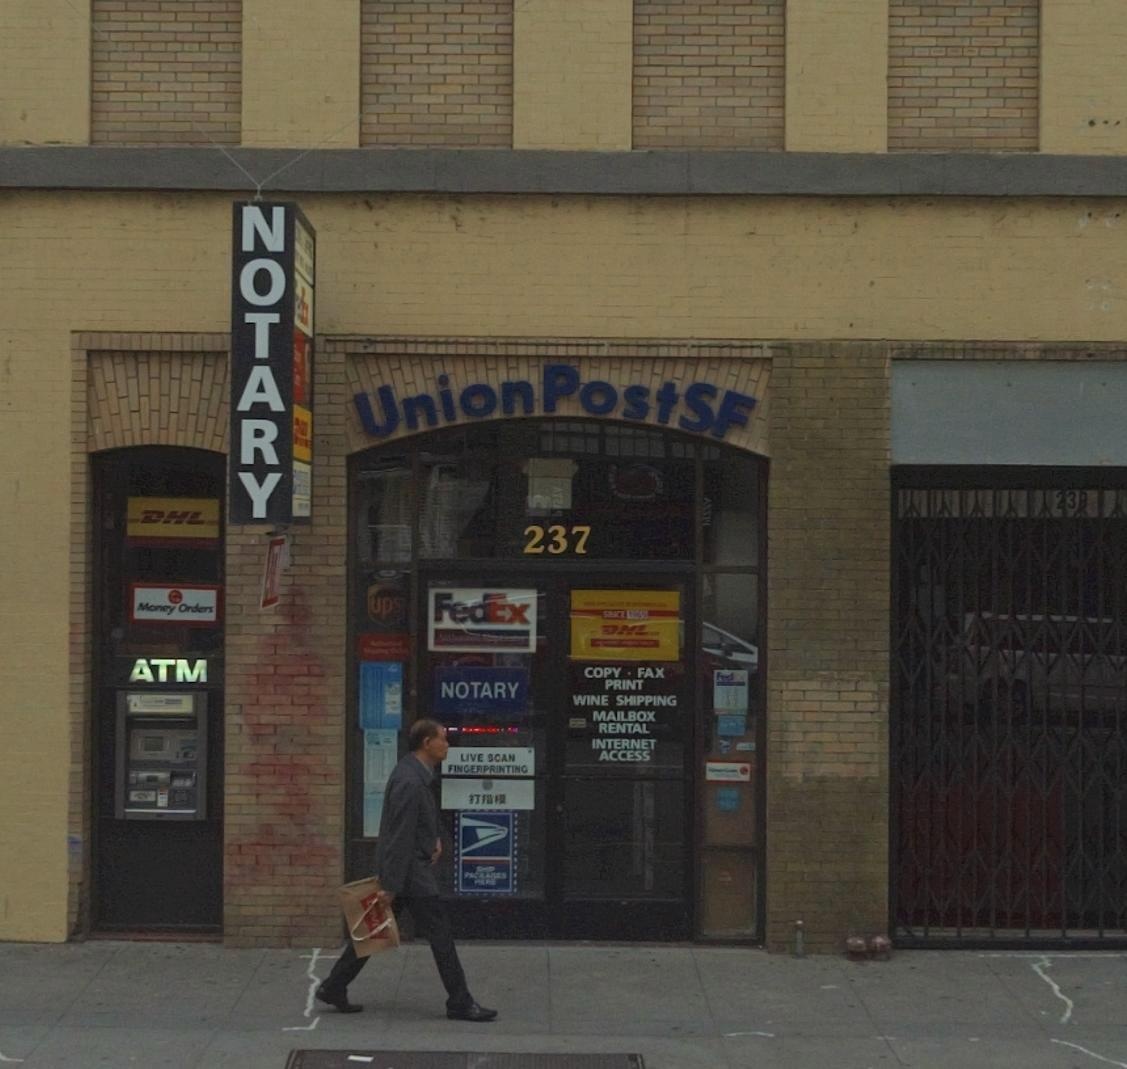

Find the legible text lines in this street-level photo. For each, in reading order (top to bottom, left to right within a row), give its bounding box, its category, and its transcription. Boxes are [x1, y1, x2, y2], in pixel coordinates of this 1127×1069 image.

[235, 205, 285, 521] None: NOTARY
[351, 361, 759, 441] BusinessName: UnionPostSF
[1055, 490, 1088, 511] StreetNumber: 239
[138, 508, 206, 527] None: DHL
[522, 523, 592, 556] StreetNumber: 237
[136, 601, 215, 616] None: Money Orders
[369, 596, 403, 622] None: ups
[432, 591, 532, 626] None: FedEx
[599, 624, 650, 637] None: DHL
[127, 657, 208, 684] None: ATM
[582, 666, 666, 679] None: COPY * FAX
[440, 681, 521, 699] None: NOTARY
[603, 678, 644, 691] None: PRINT
[571, 694, 678, 707] None: WINE SHIPPING
[592, 710, 657, 723] None: MAILBOX
[597, 722, 650, 734] None: RENTAL
[590, 738, 658, 750] None: INTERNET
[459, 752, 517, 763] None: LIVE SCAN
[597, 749, 651, 763] None: ACCESS
[447, 763, 529, 774] None: FINGERPRINTING